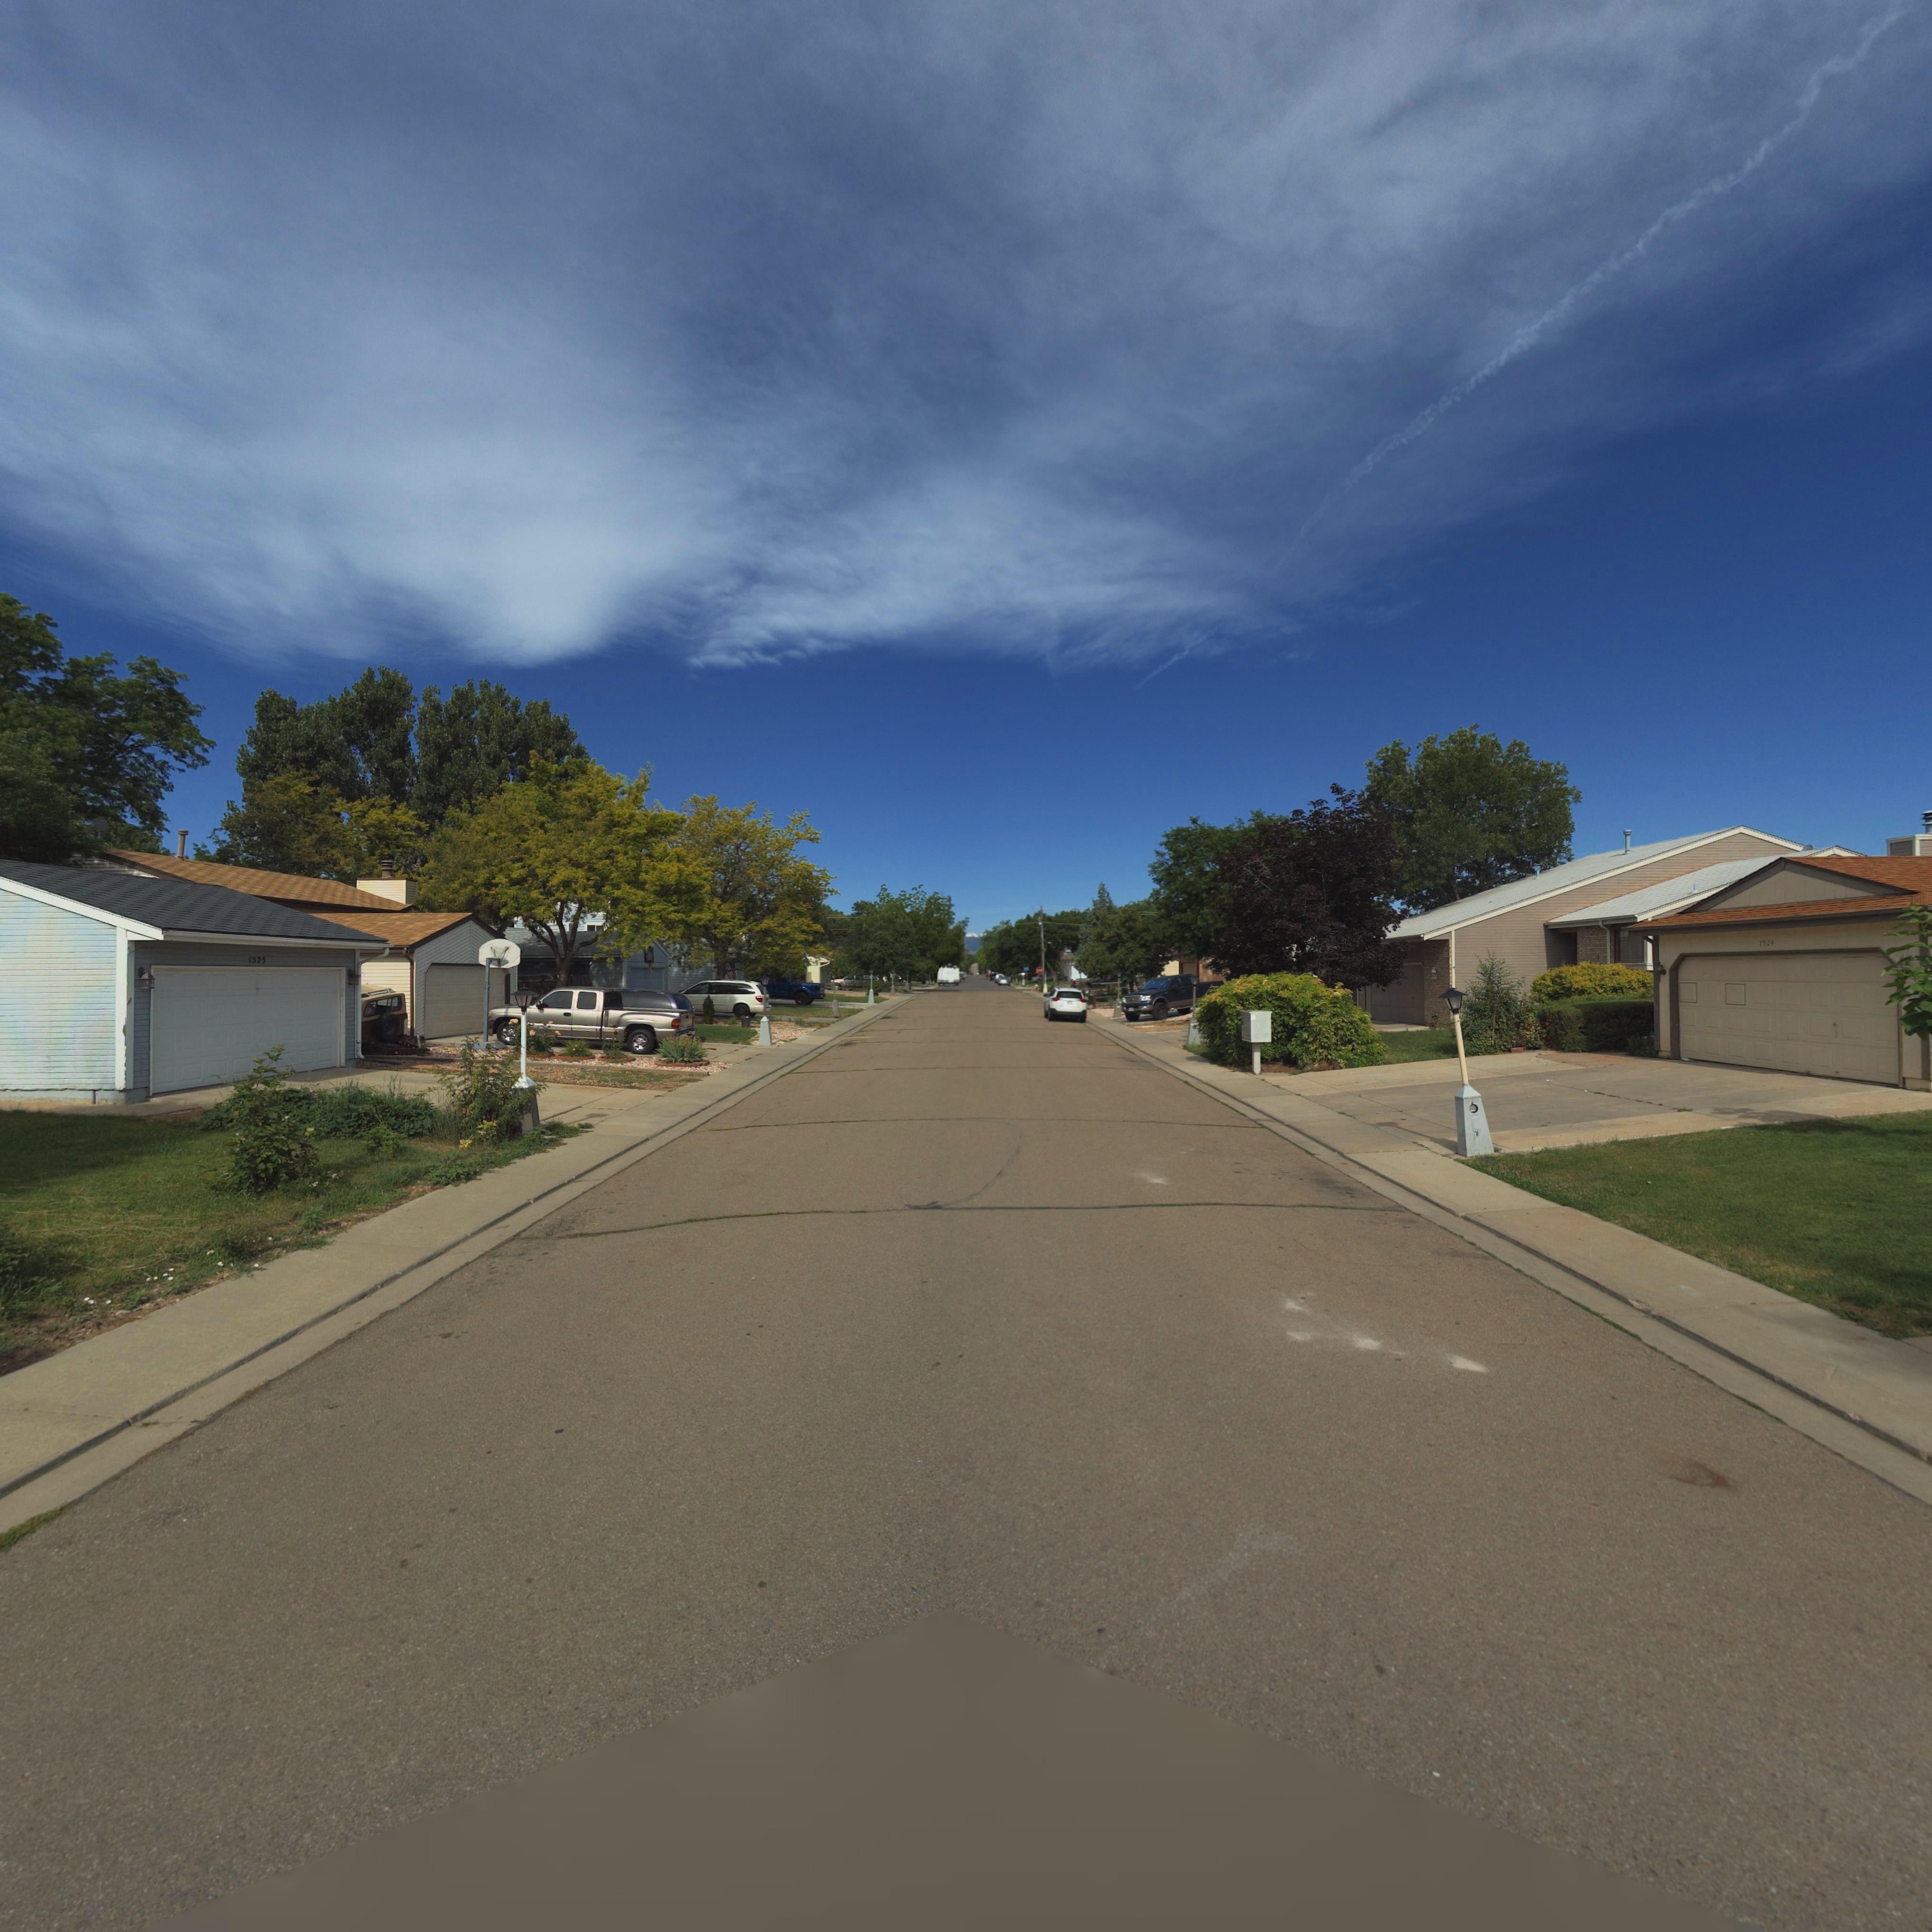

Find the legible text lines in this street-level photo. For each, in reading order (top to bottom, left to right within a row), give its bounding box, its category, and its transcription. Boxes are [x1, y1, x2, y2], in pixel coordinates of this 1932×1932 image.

[1759, 939, 1774, 946] StreetNumber: 1524
[248, 956, 266, 964] StreetNumber: 1525